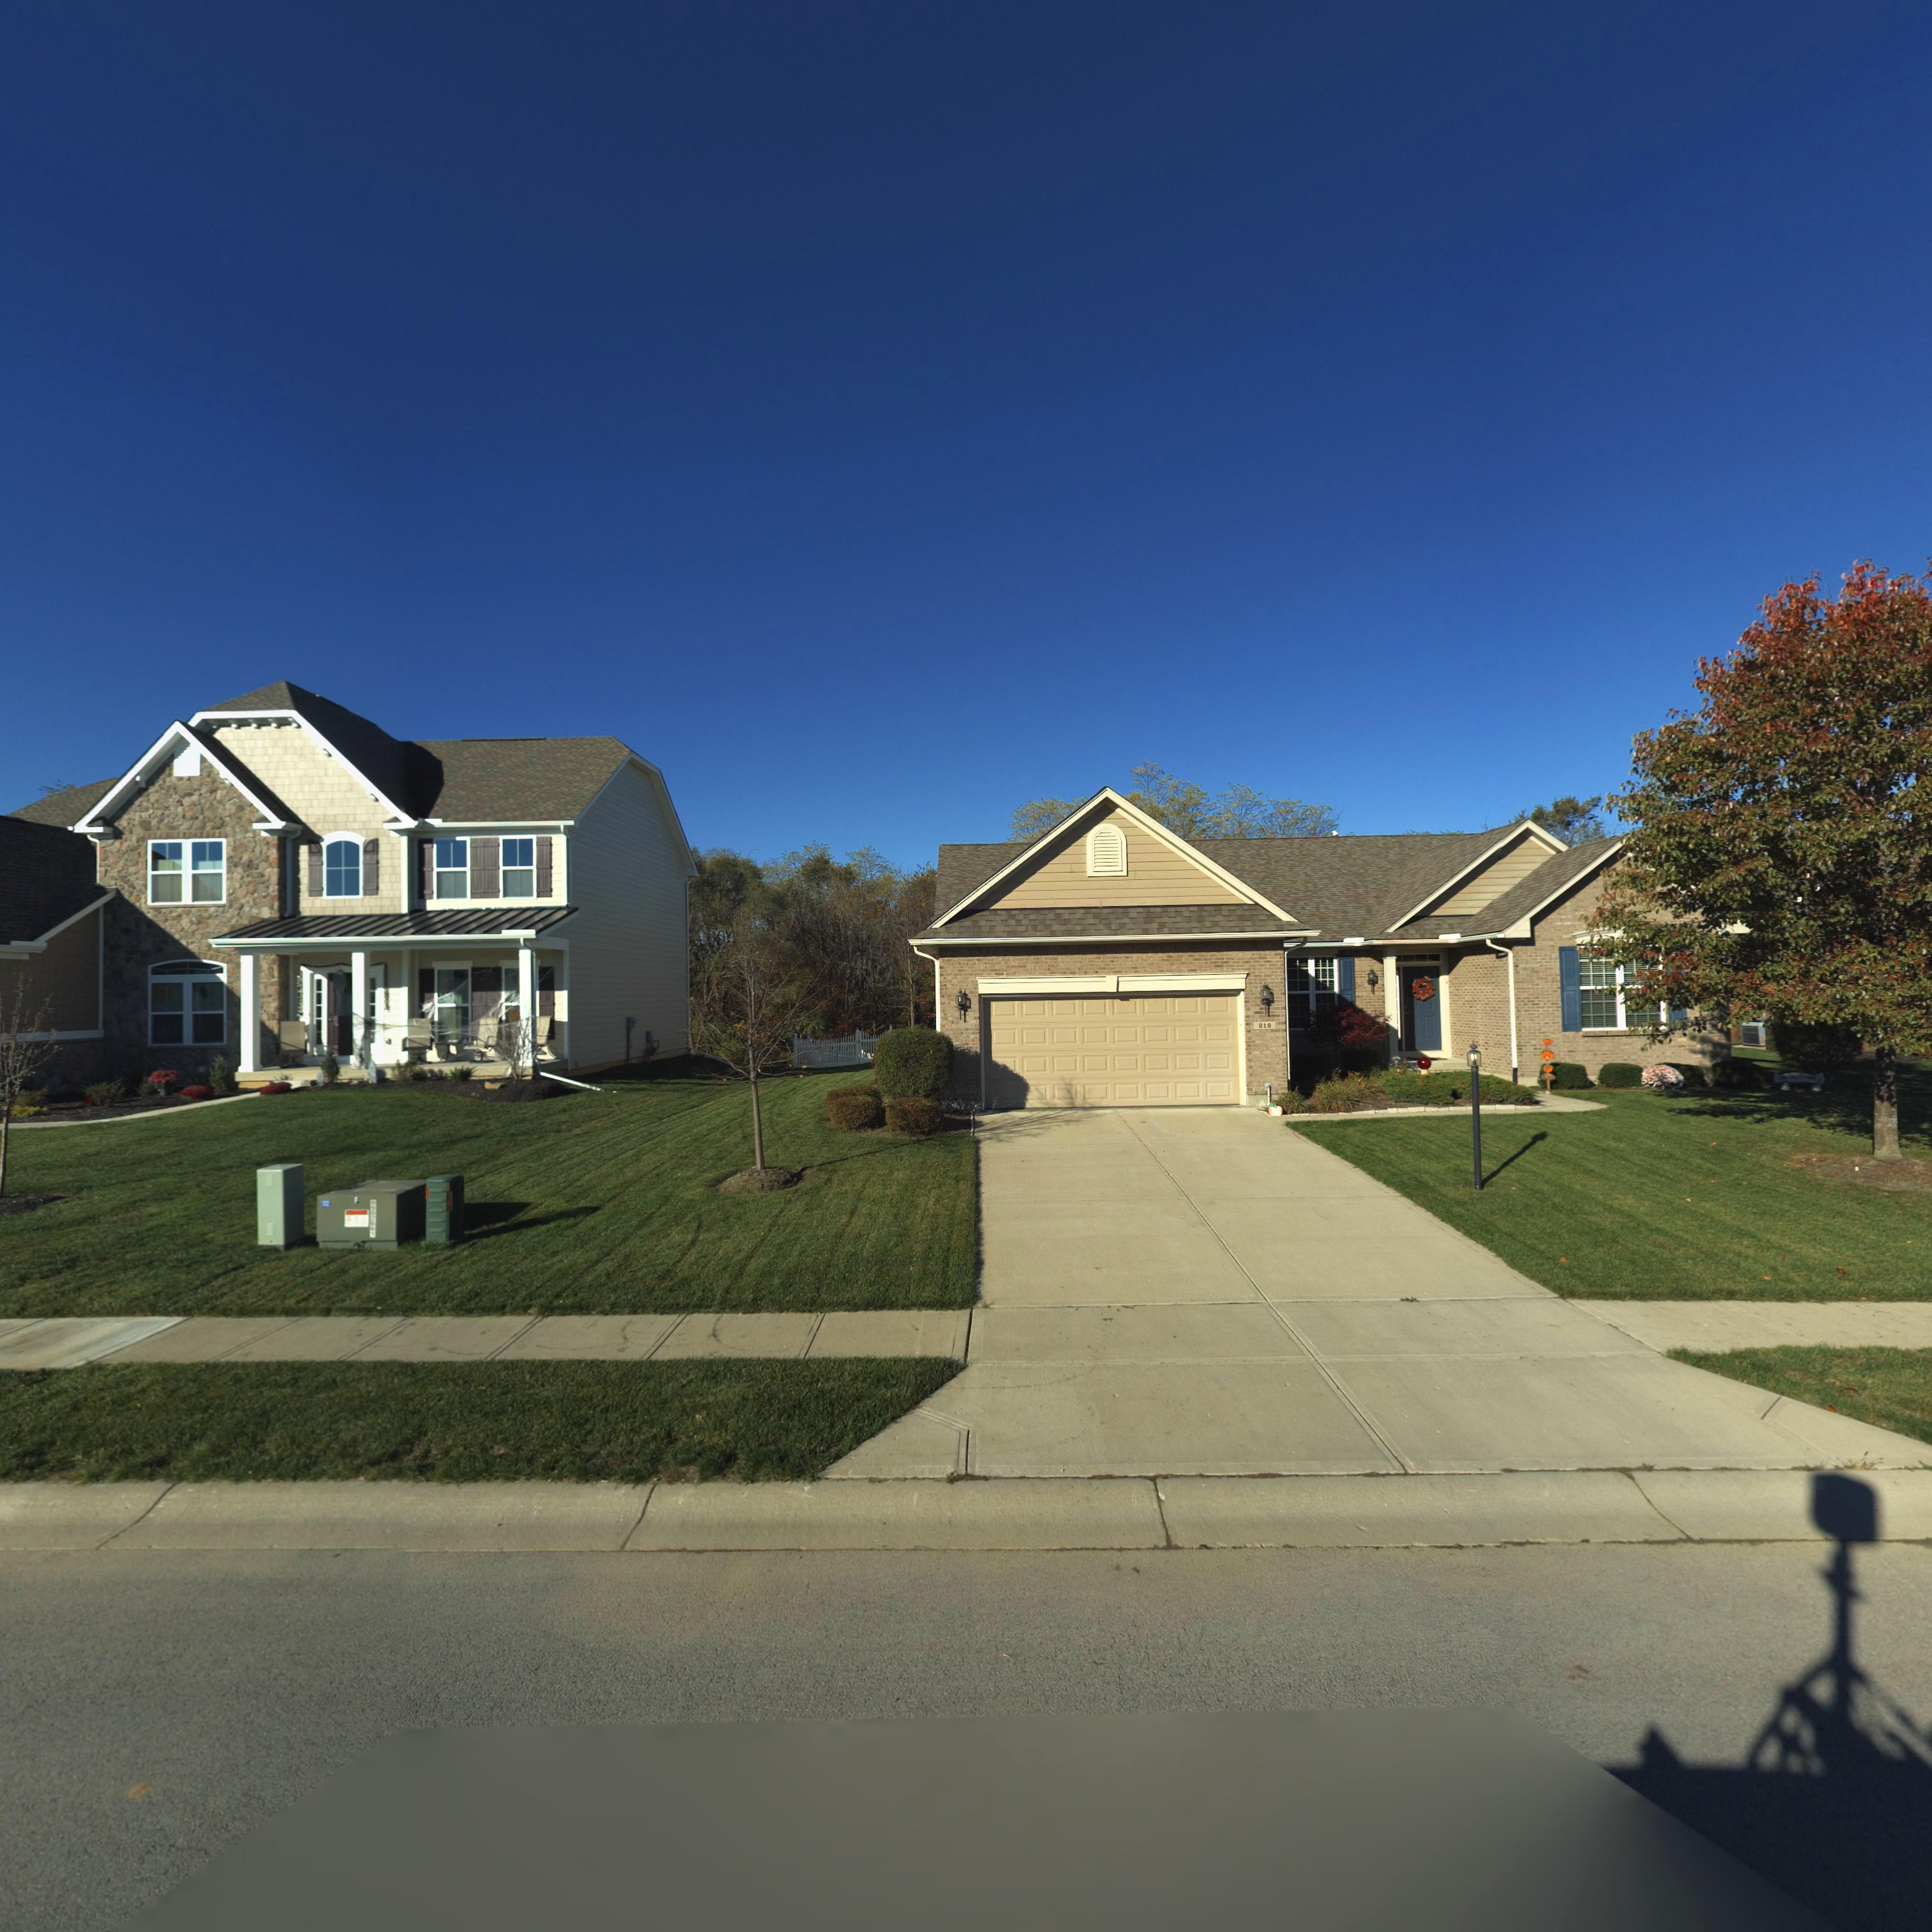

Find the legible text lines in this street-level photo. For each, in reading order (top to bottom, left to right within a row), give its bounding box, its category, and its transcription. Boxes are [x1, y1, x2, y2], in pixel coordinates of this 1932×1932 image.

[1257, 1022, 1272, 1029] StreetNumber: 216